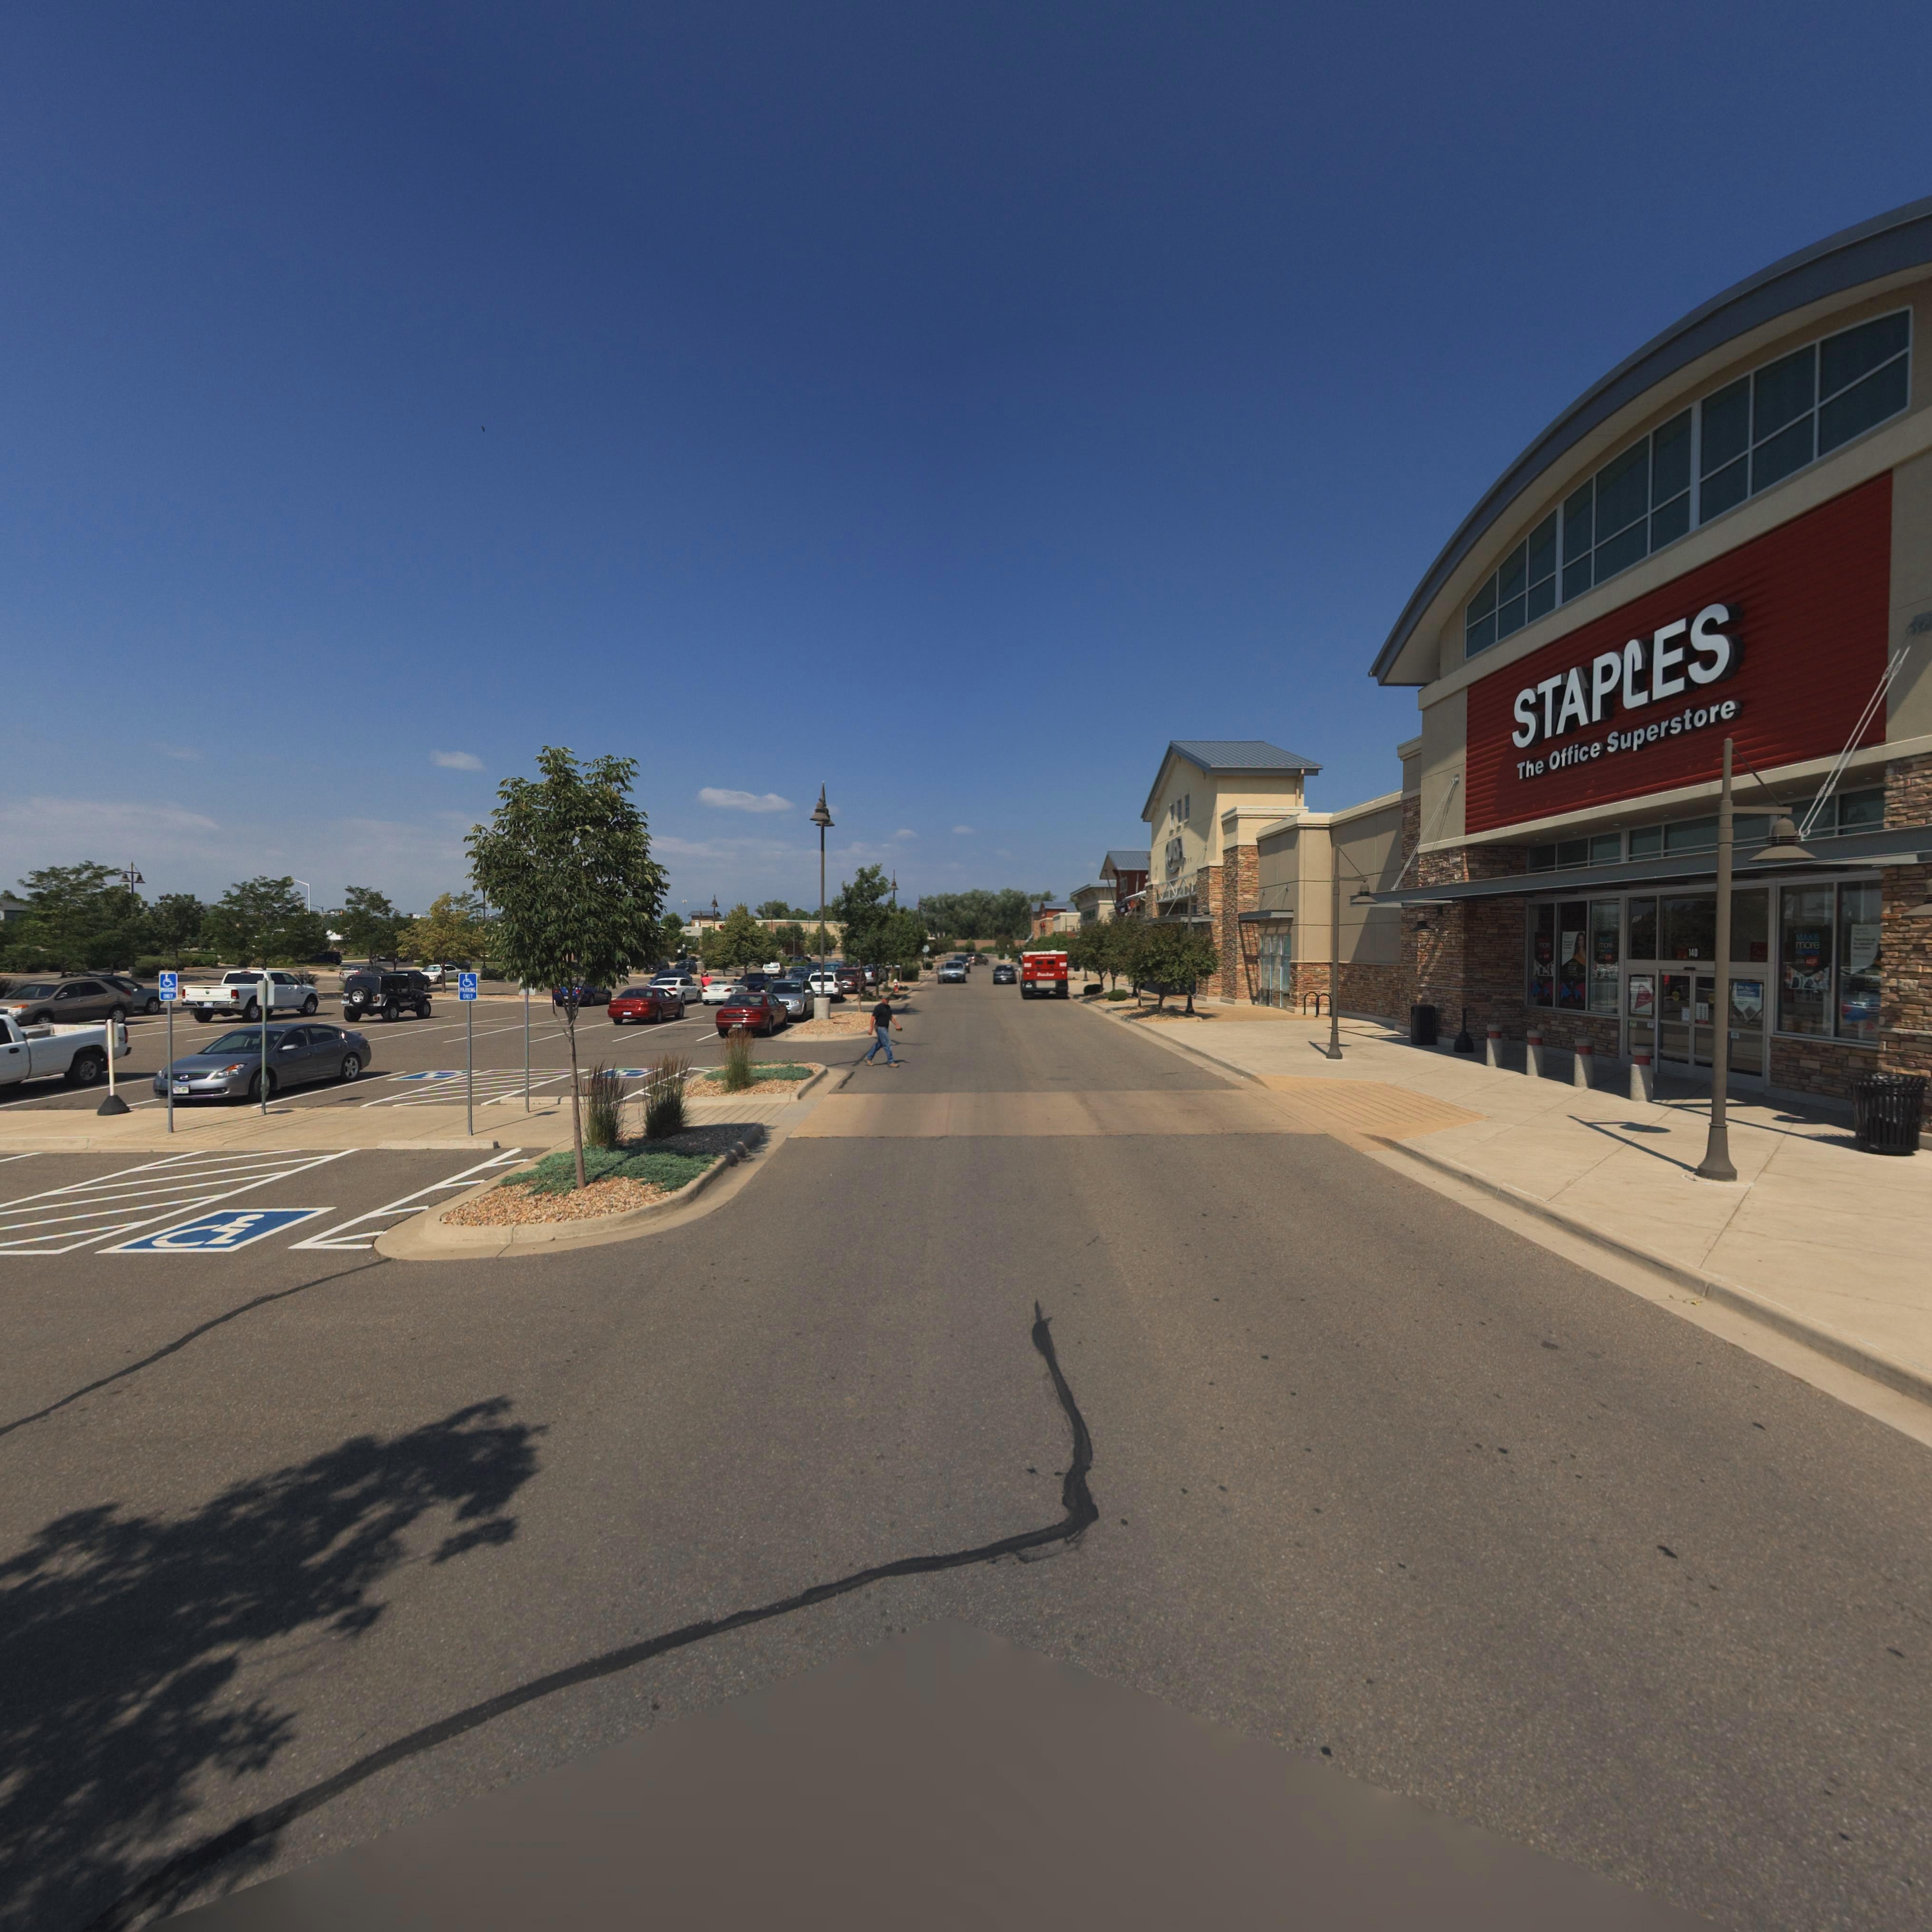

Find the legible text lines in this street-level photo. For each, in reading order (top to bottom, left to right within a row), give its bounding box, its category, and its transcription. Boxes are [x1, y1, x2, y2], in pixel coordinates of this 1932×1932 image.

[1511, 602, 1731, 750] BusinessName: STAPLES
[1517, 700, 1741, 780] BusinessName: The Office Superstore
[1080, 908, 1095, 921] BusinessName: ***E
[1689, 948, 1697, 957] StreetNumber: 140